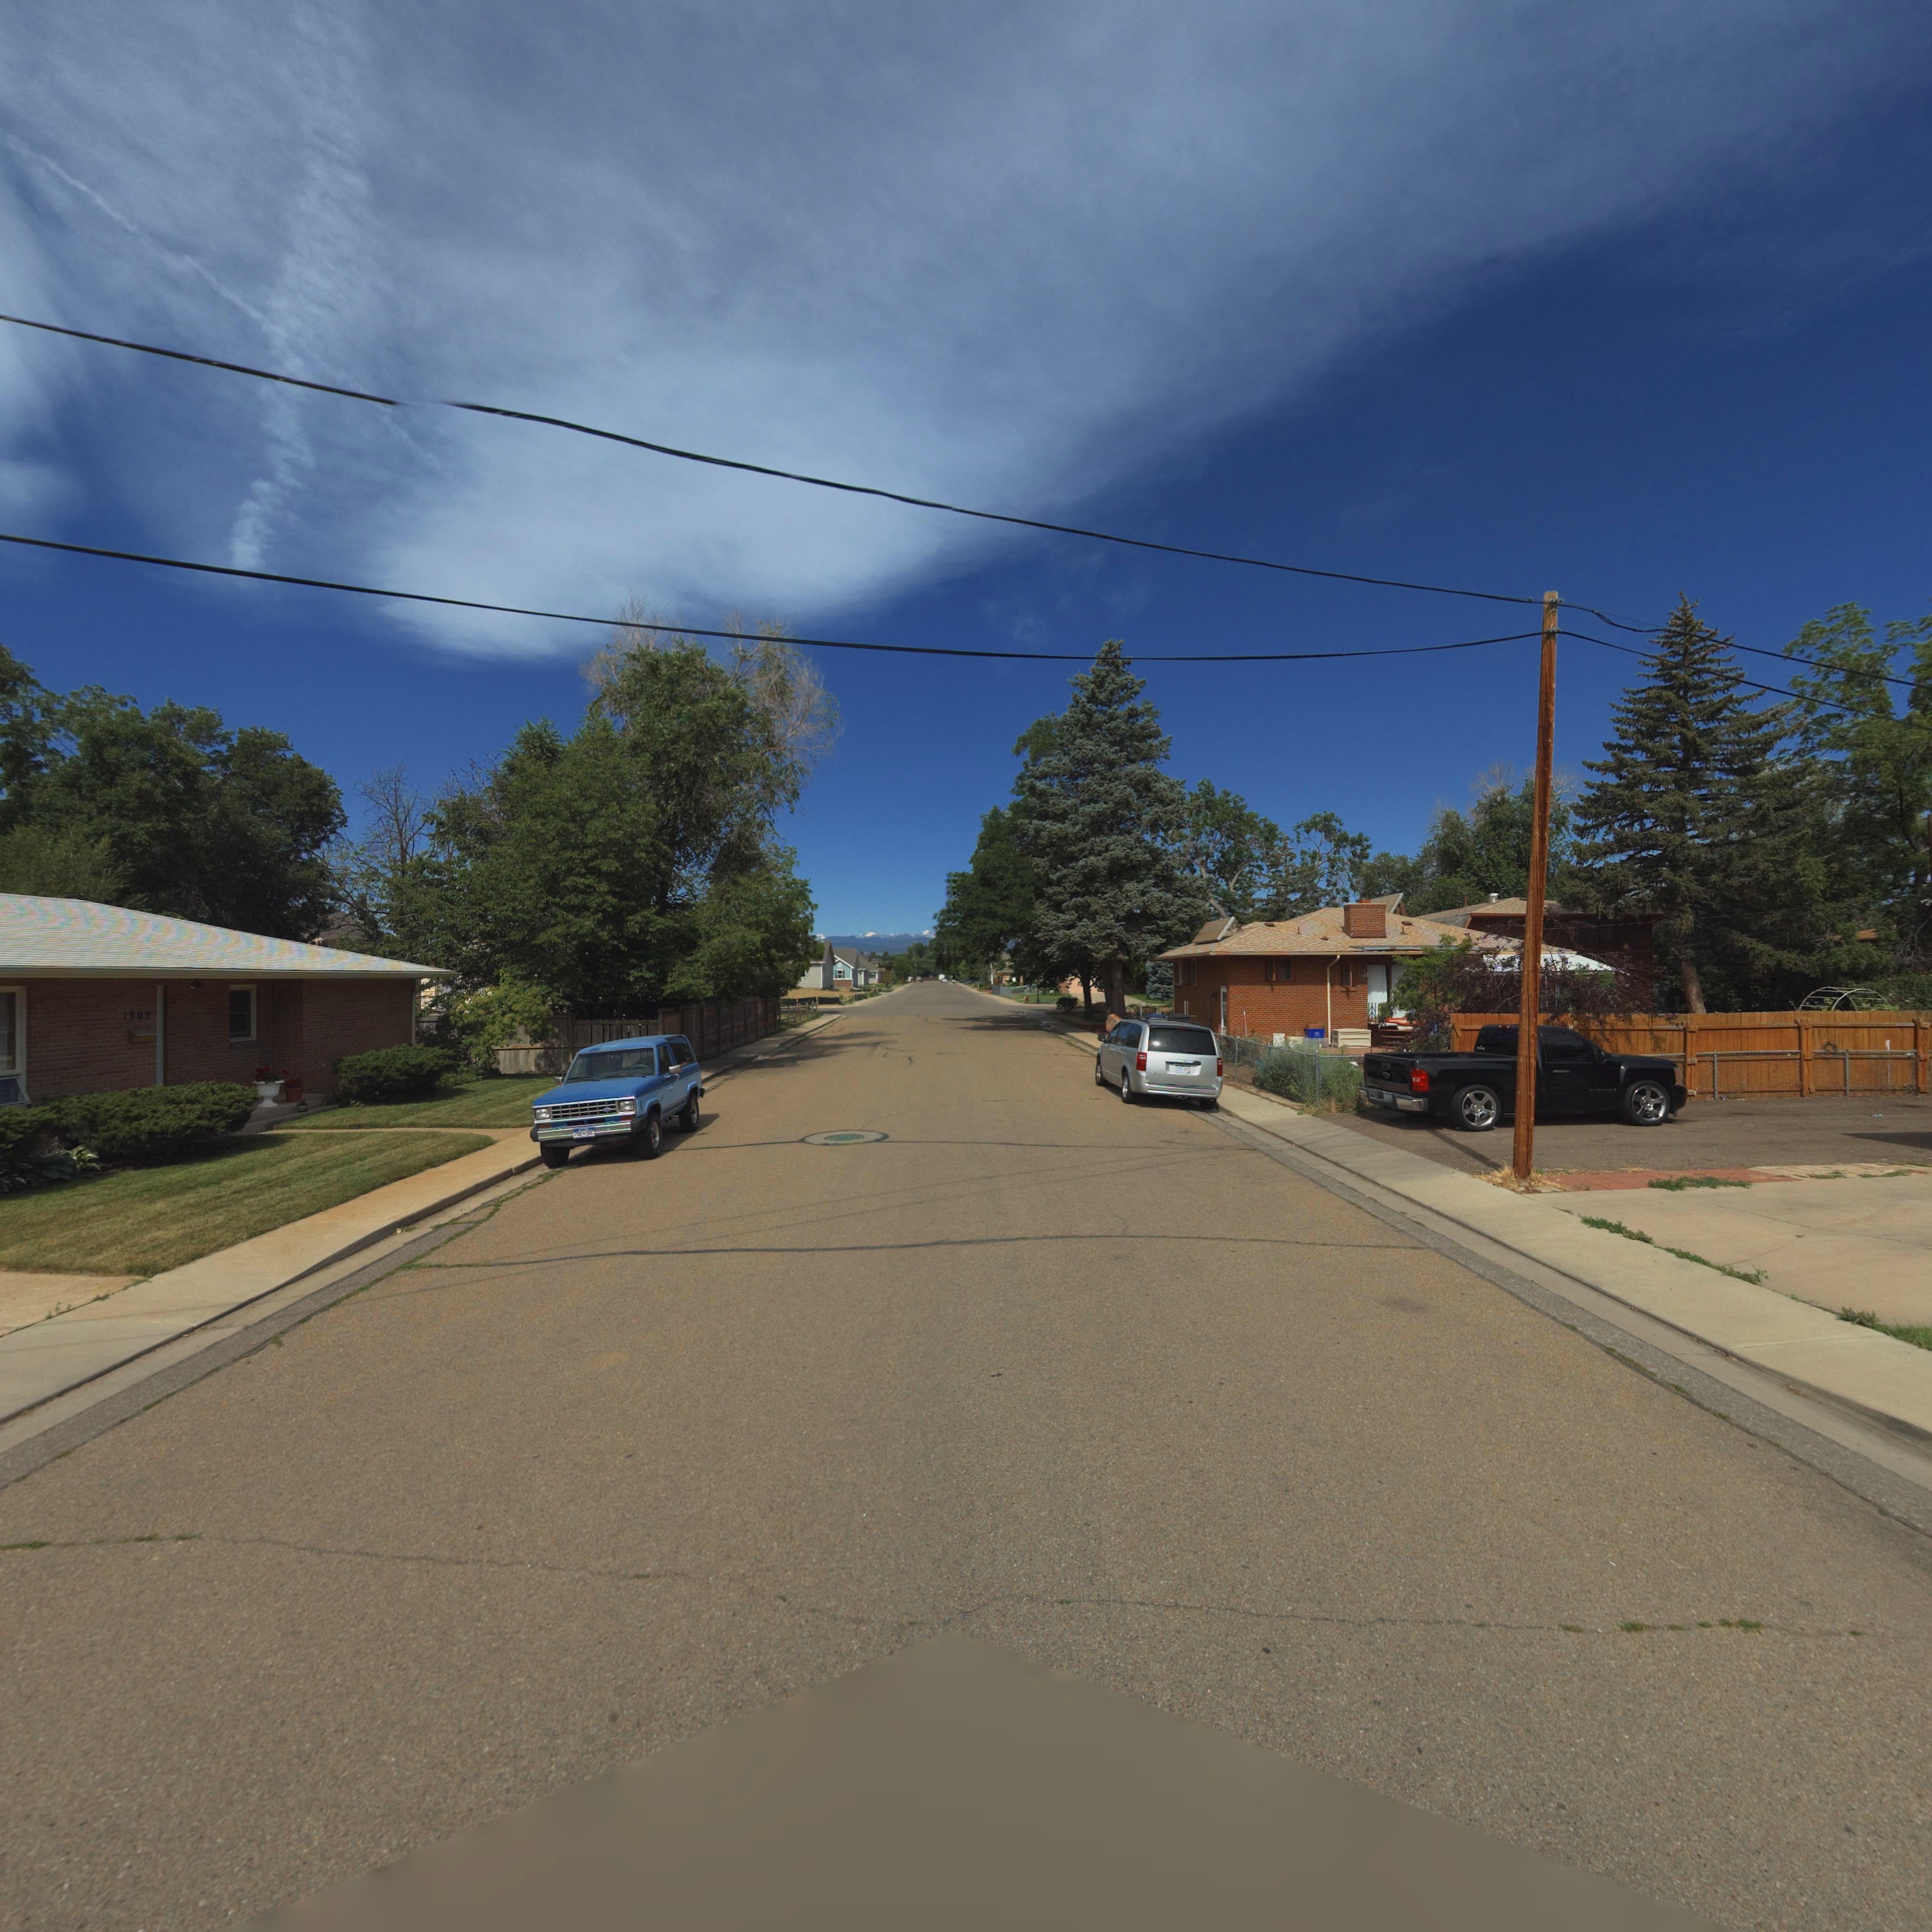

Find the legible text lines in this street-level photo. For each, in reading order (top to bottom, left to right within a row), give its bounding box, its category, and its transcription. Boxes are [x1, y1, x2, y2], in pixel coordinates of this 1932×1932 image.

[122, 1010, 152, 1021] StreetNumber: 1303